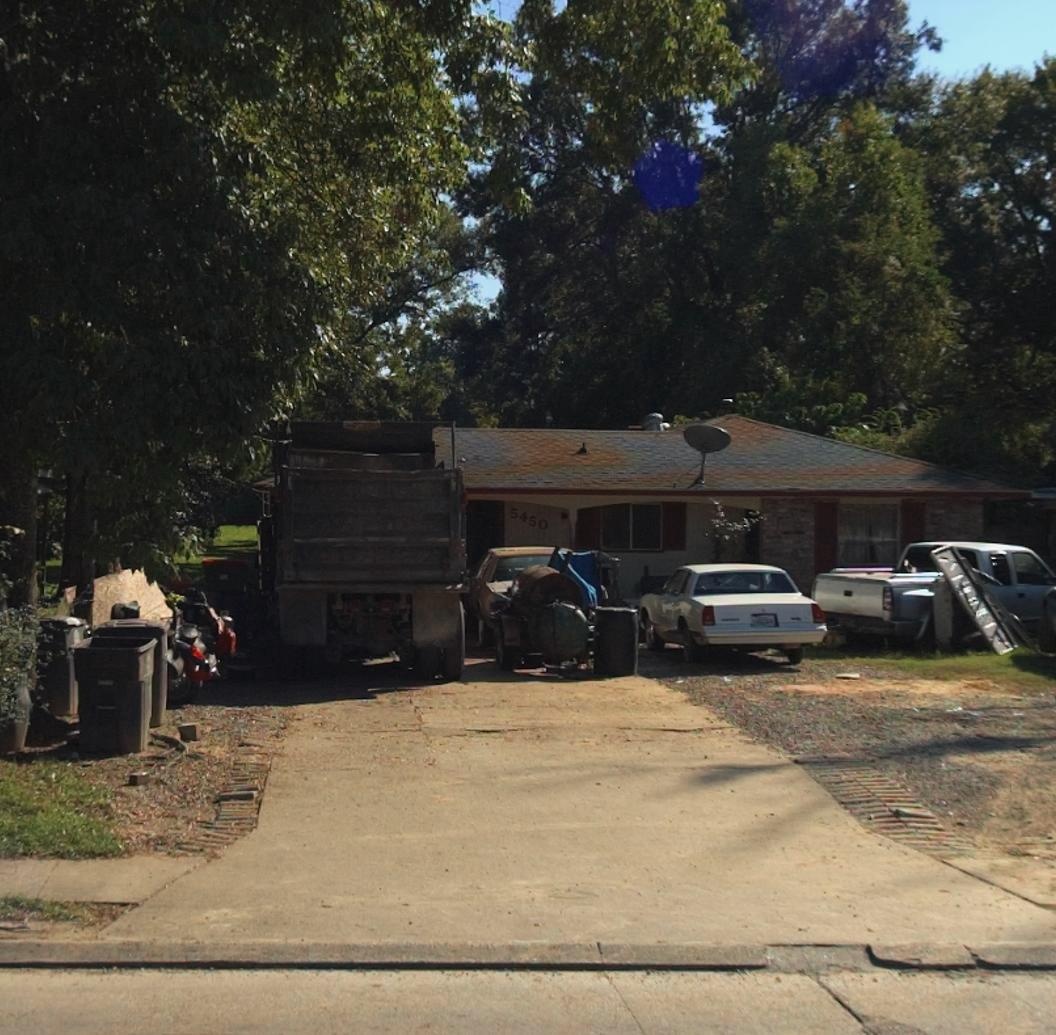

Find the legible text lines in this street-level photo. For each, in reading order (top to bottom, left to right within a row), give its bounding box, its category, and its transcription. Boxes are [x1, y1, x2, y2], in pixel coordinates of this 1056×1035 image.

[510, 507, 548, 530] StreetNumber: 5450